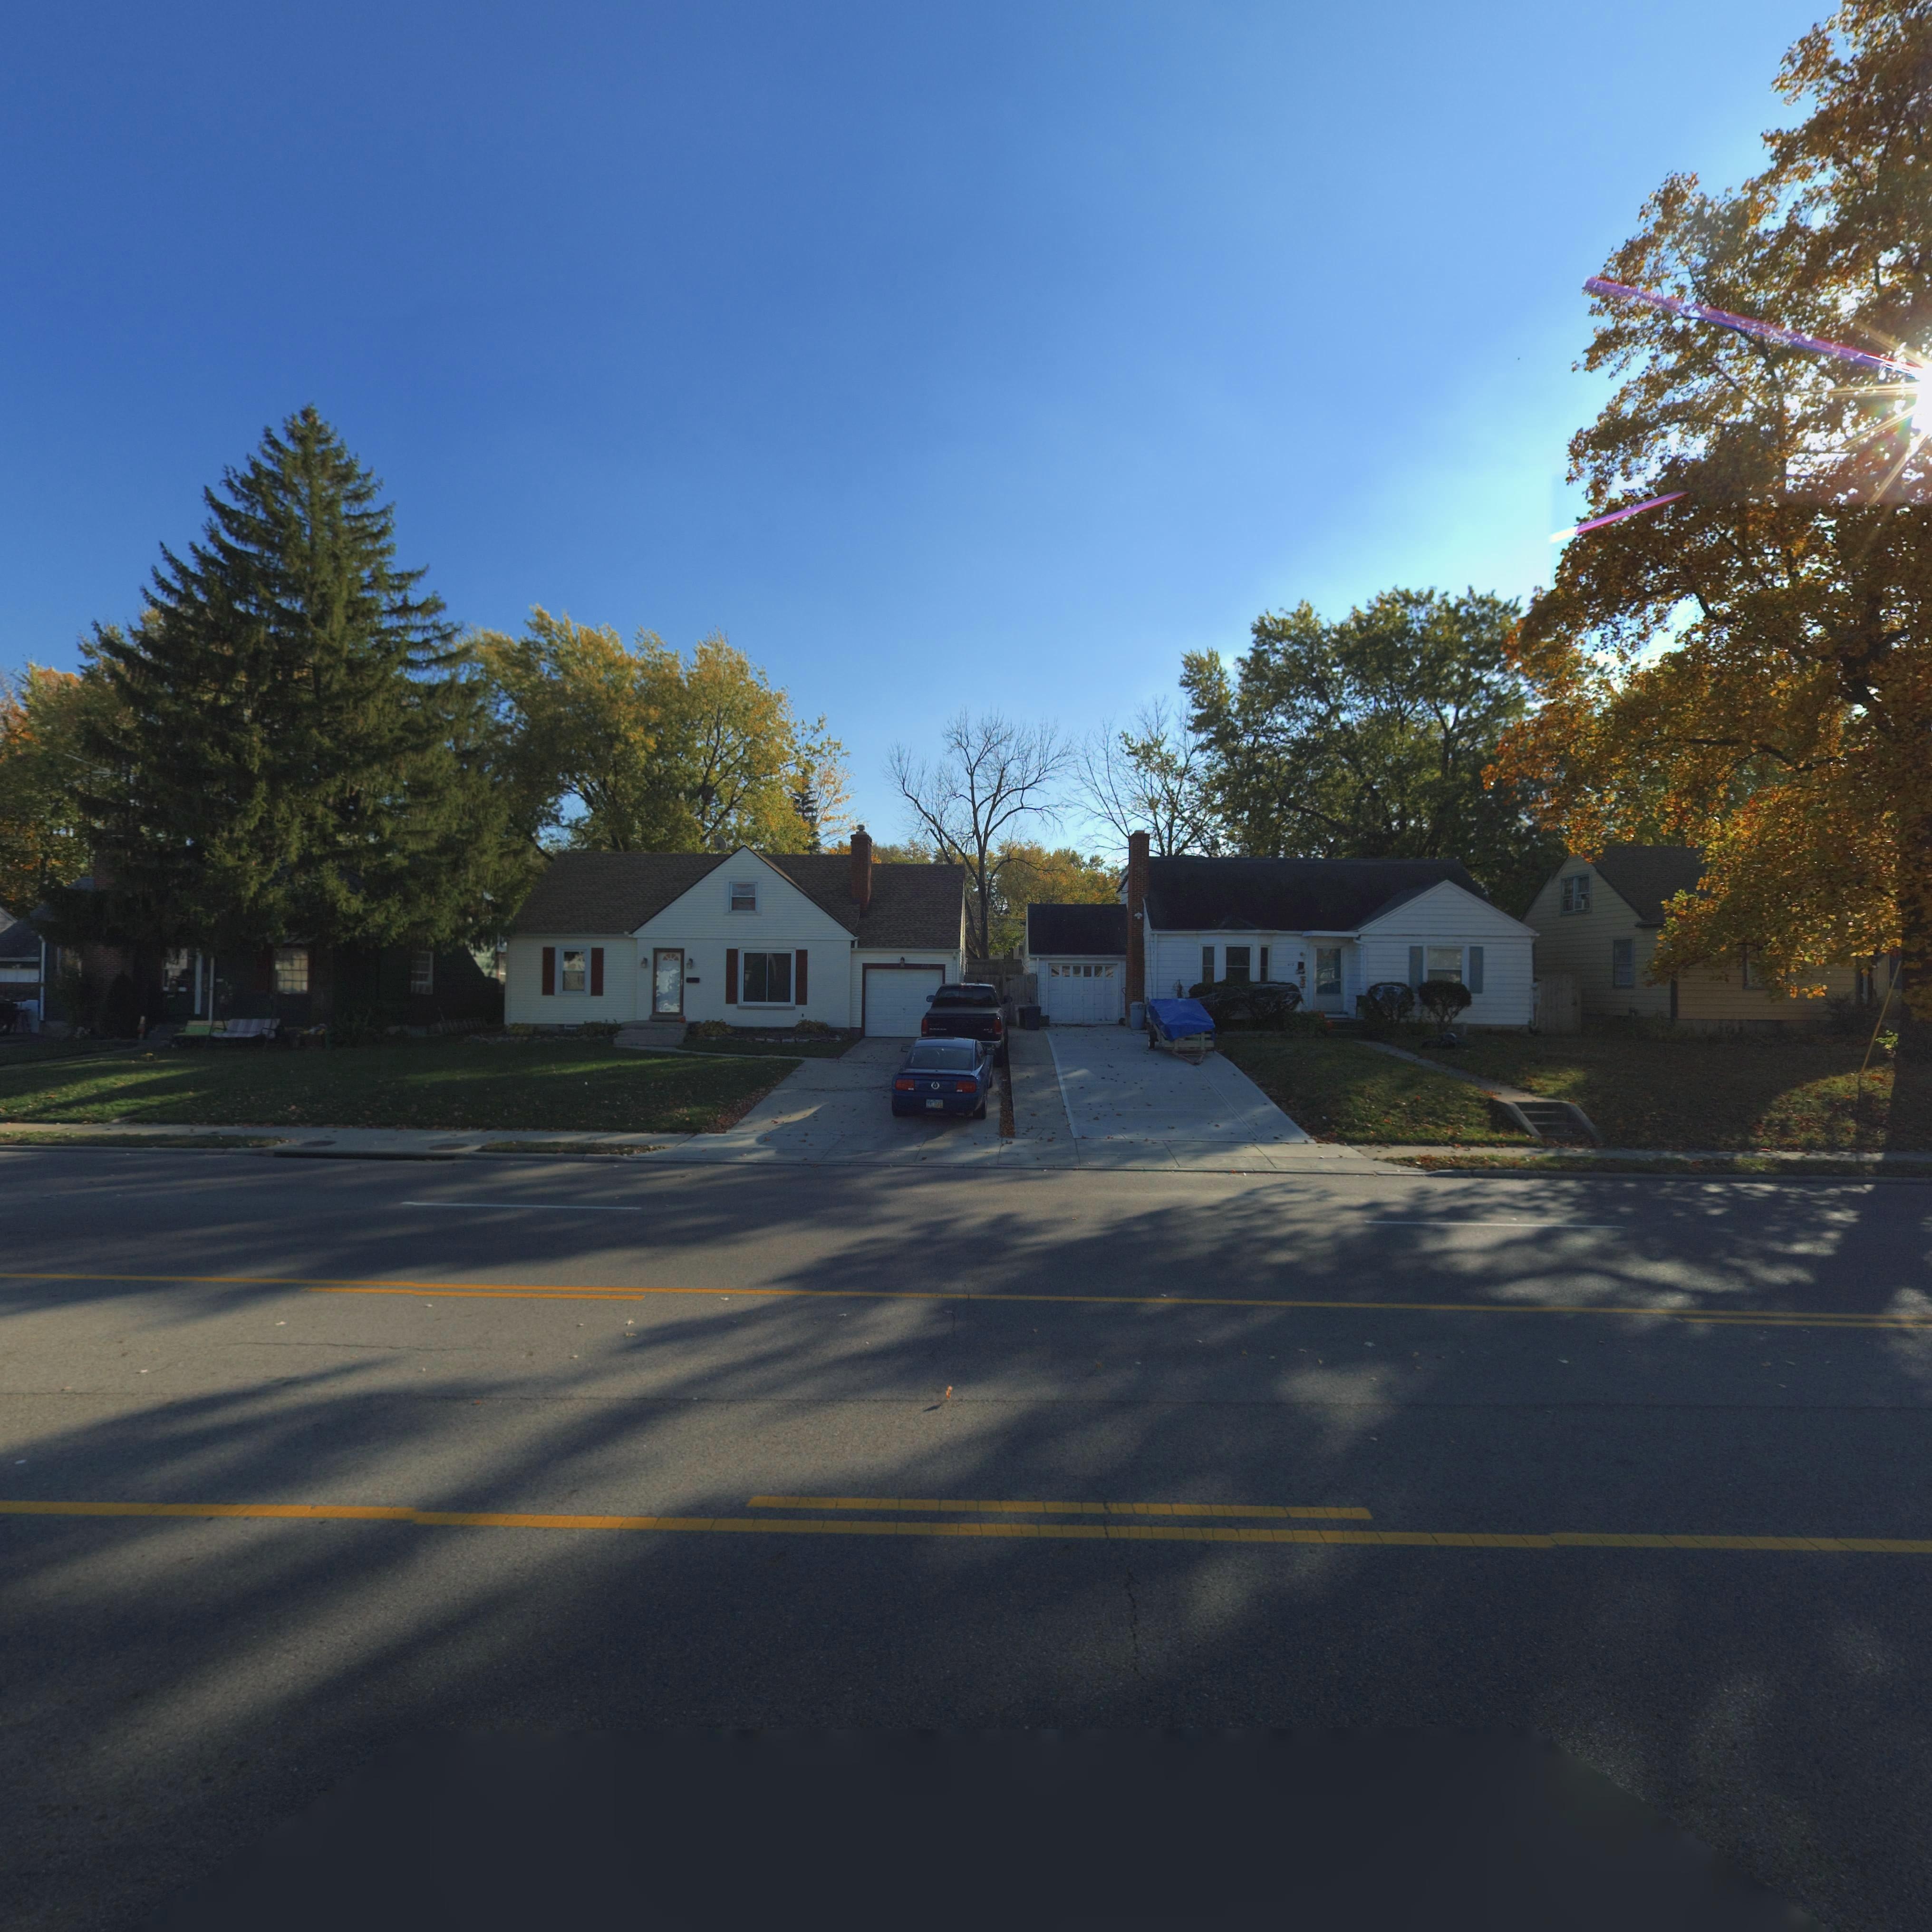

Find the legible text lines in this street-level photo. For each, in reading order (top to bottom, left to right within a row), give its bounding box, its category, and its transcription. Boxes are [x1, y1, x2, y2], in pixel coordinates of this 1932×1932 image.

[921, 964, 931, 969] StreetNumber: *1*
[1287, 962, 1294, 966] StreetNumber: **2